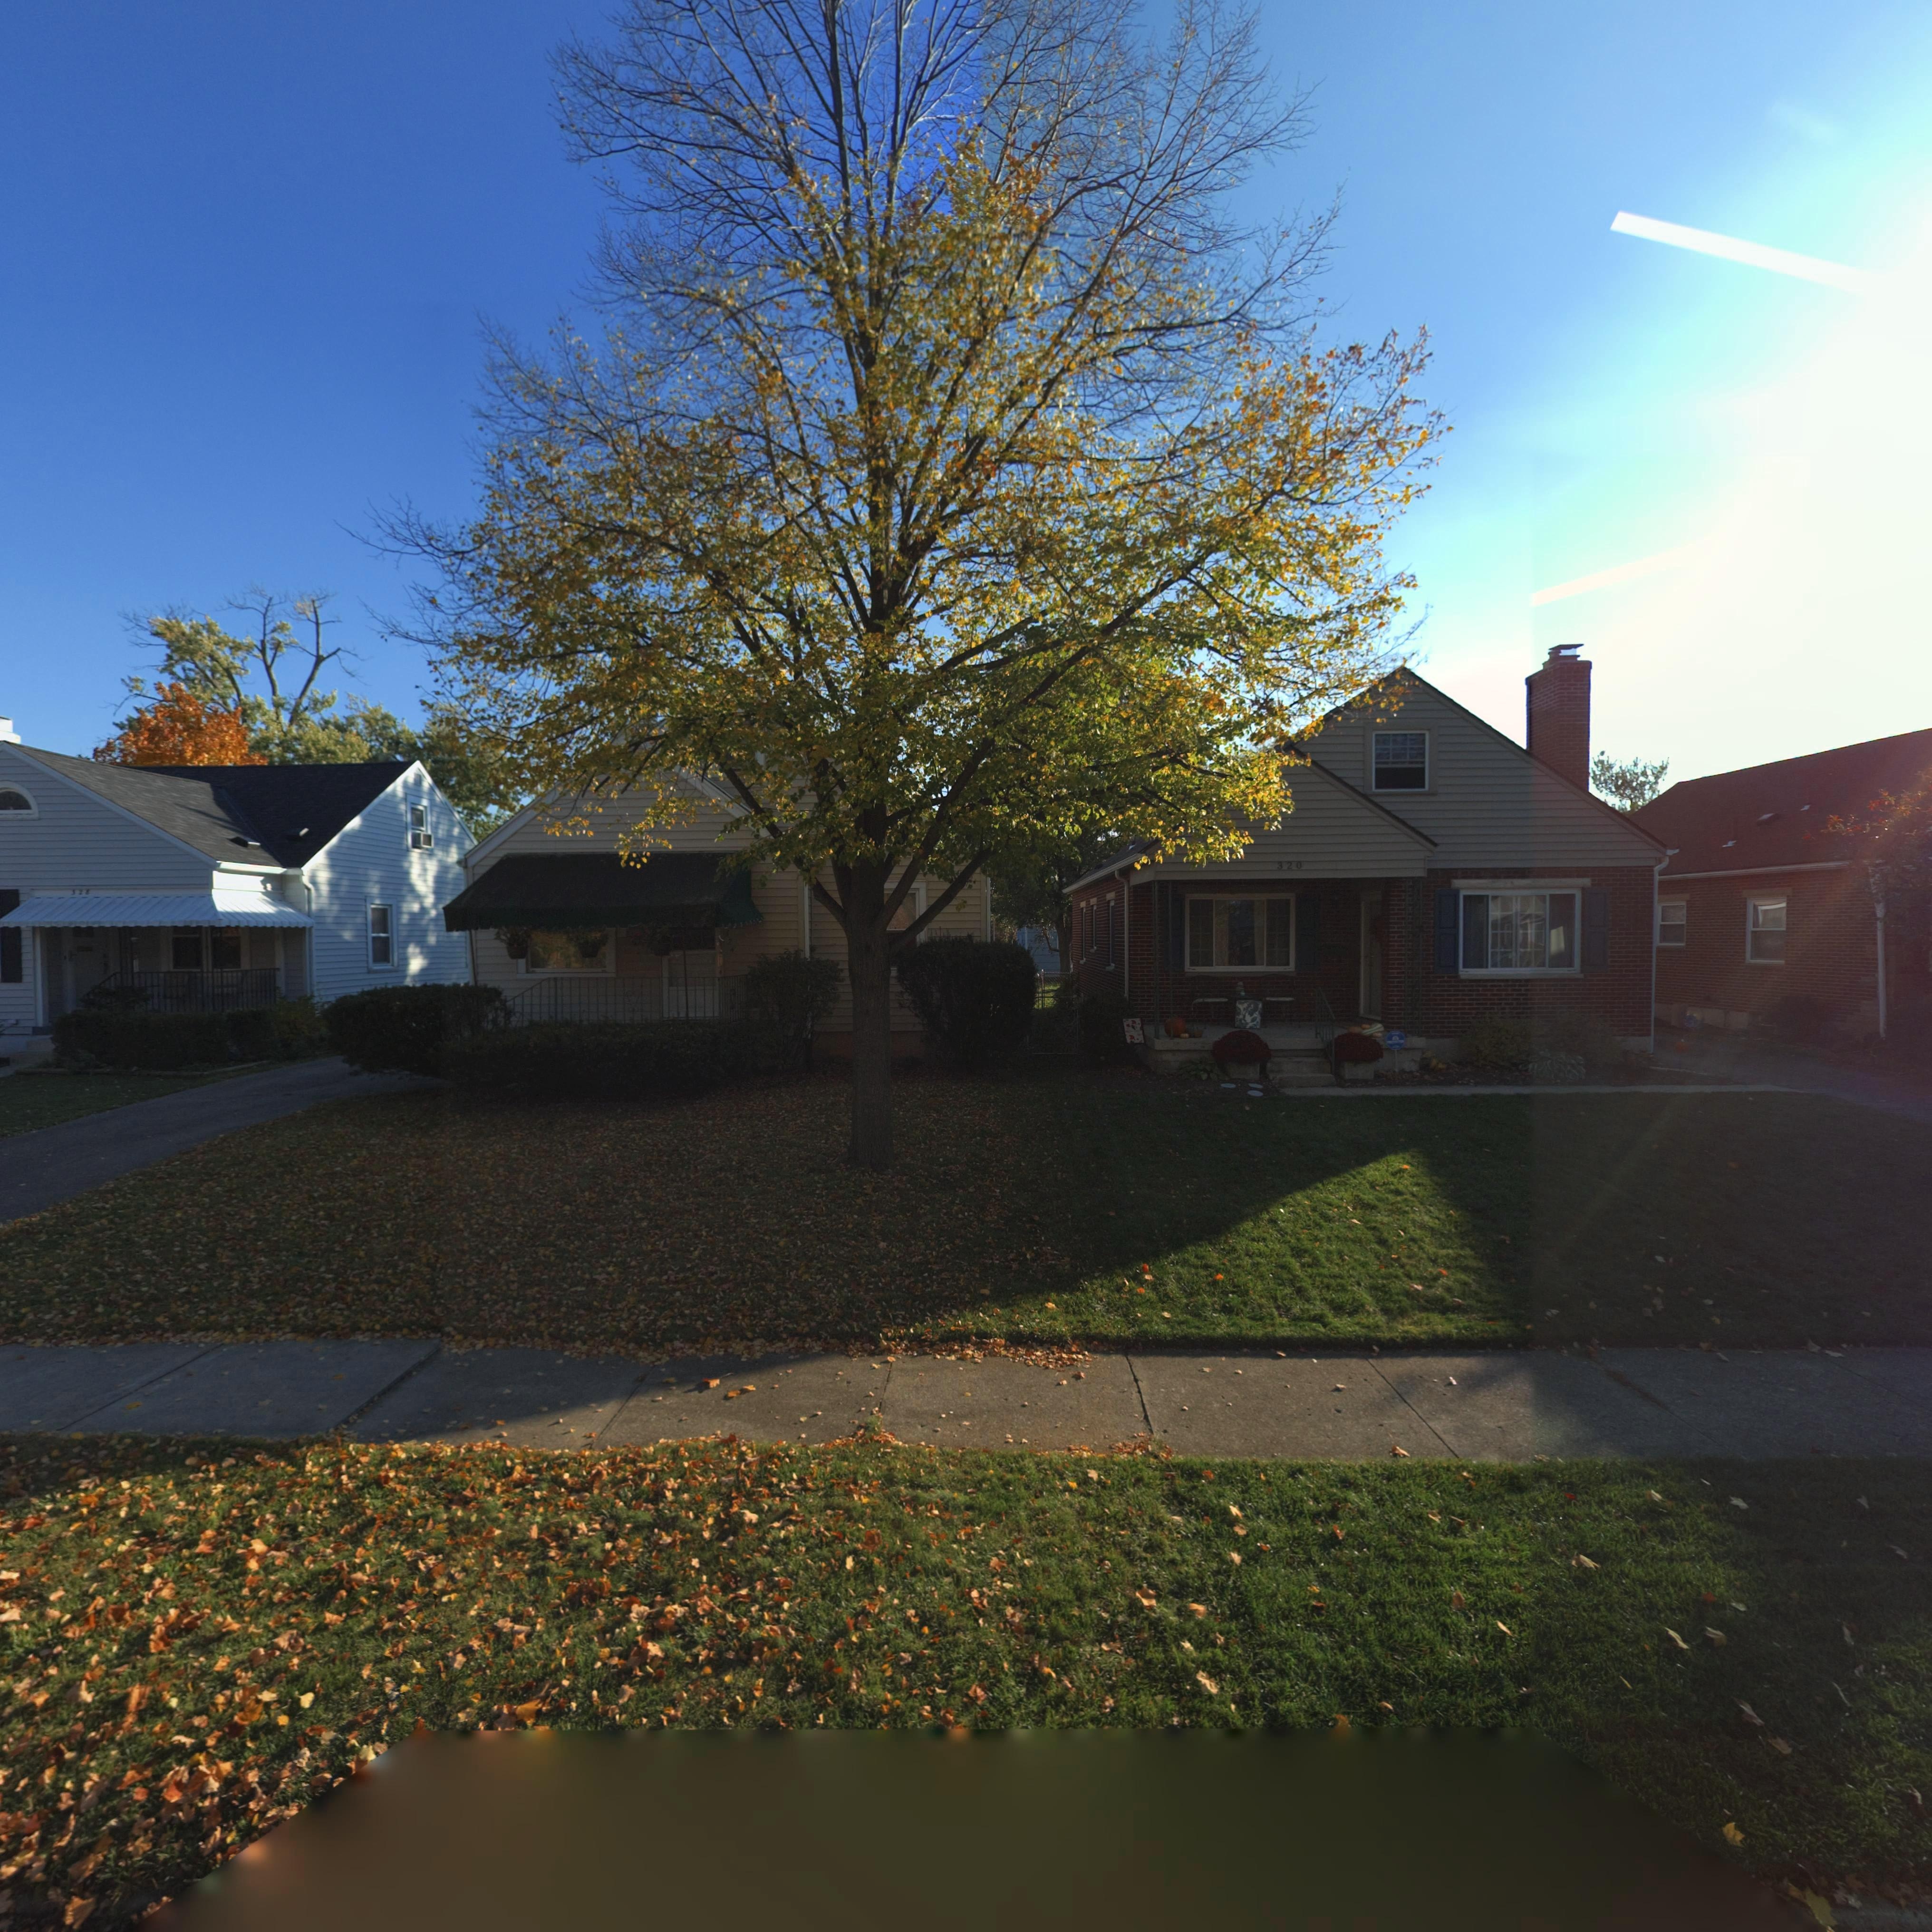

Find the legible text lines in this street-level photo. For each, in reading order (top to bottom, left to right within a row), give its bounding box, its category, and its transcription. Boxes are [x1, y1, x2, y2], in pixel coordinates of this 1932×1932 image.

[1277, 861, 1303, 870] StreetNumber: 320
[70, 889, 91, 896] StreetNumber: 328
[724, 928, 734, 954] StreetNumber: 324